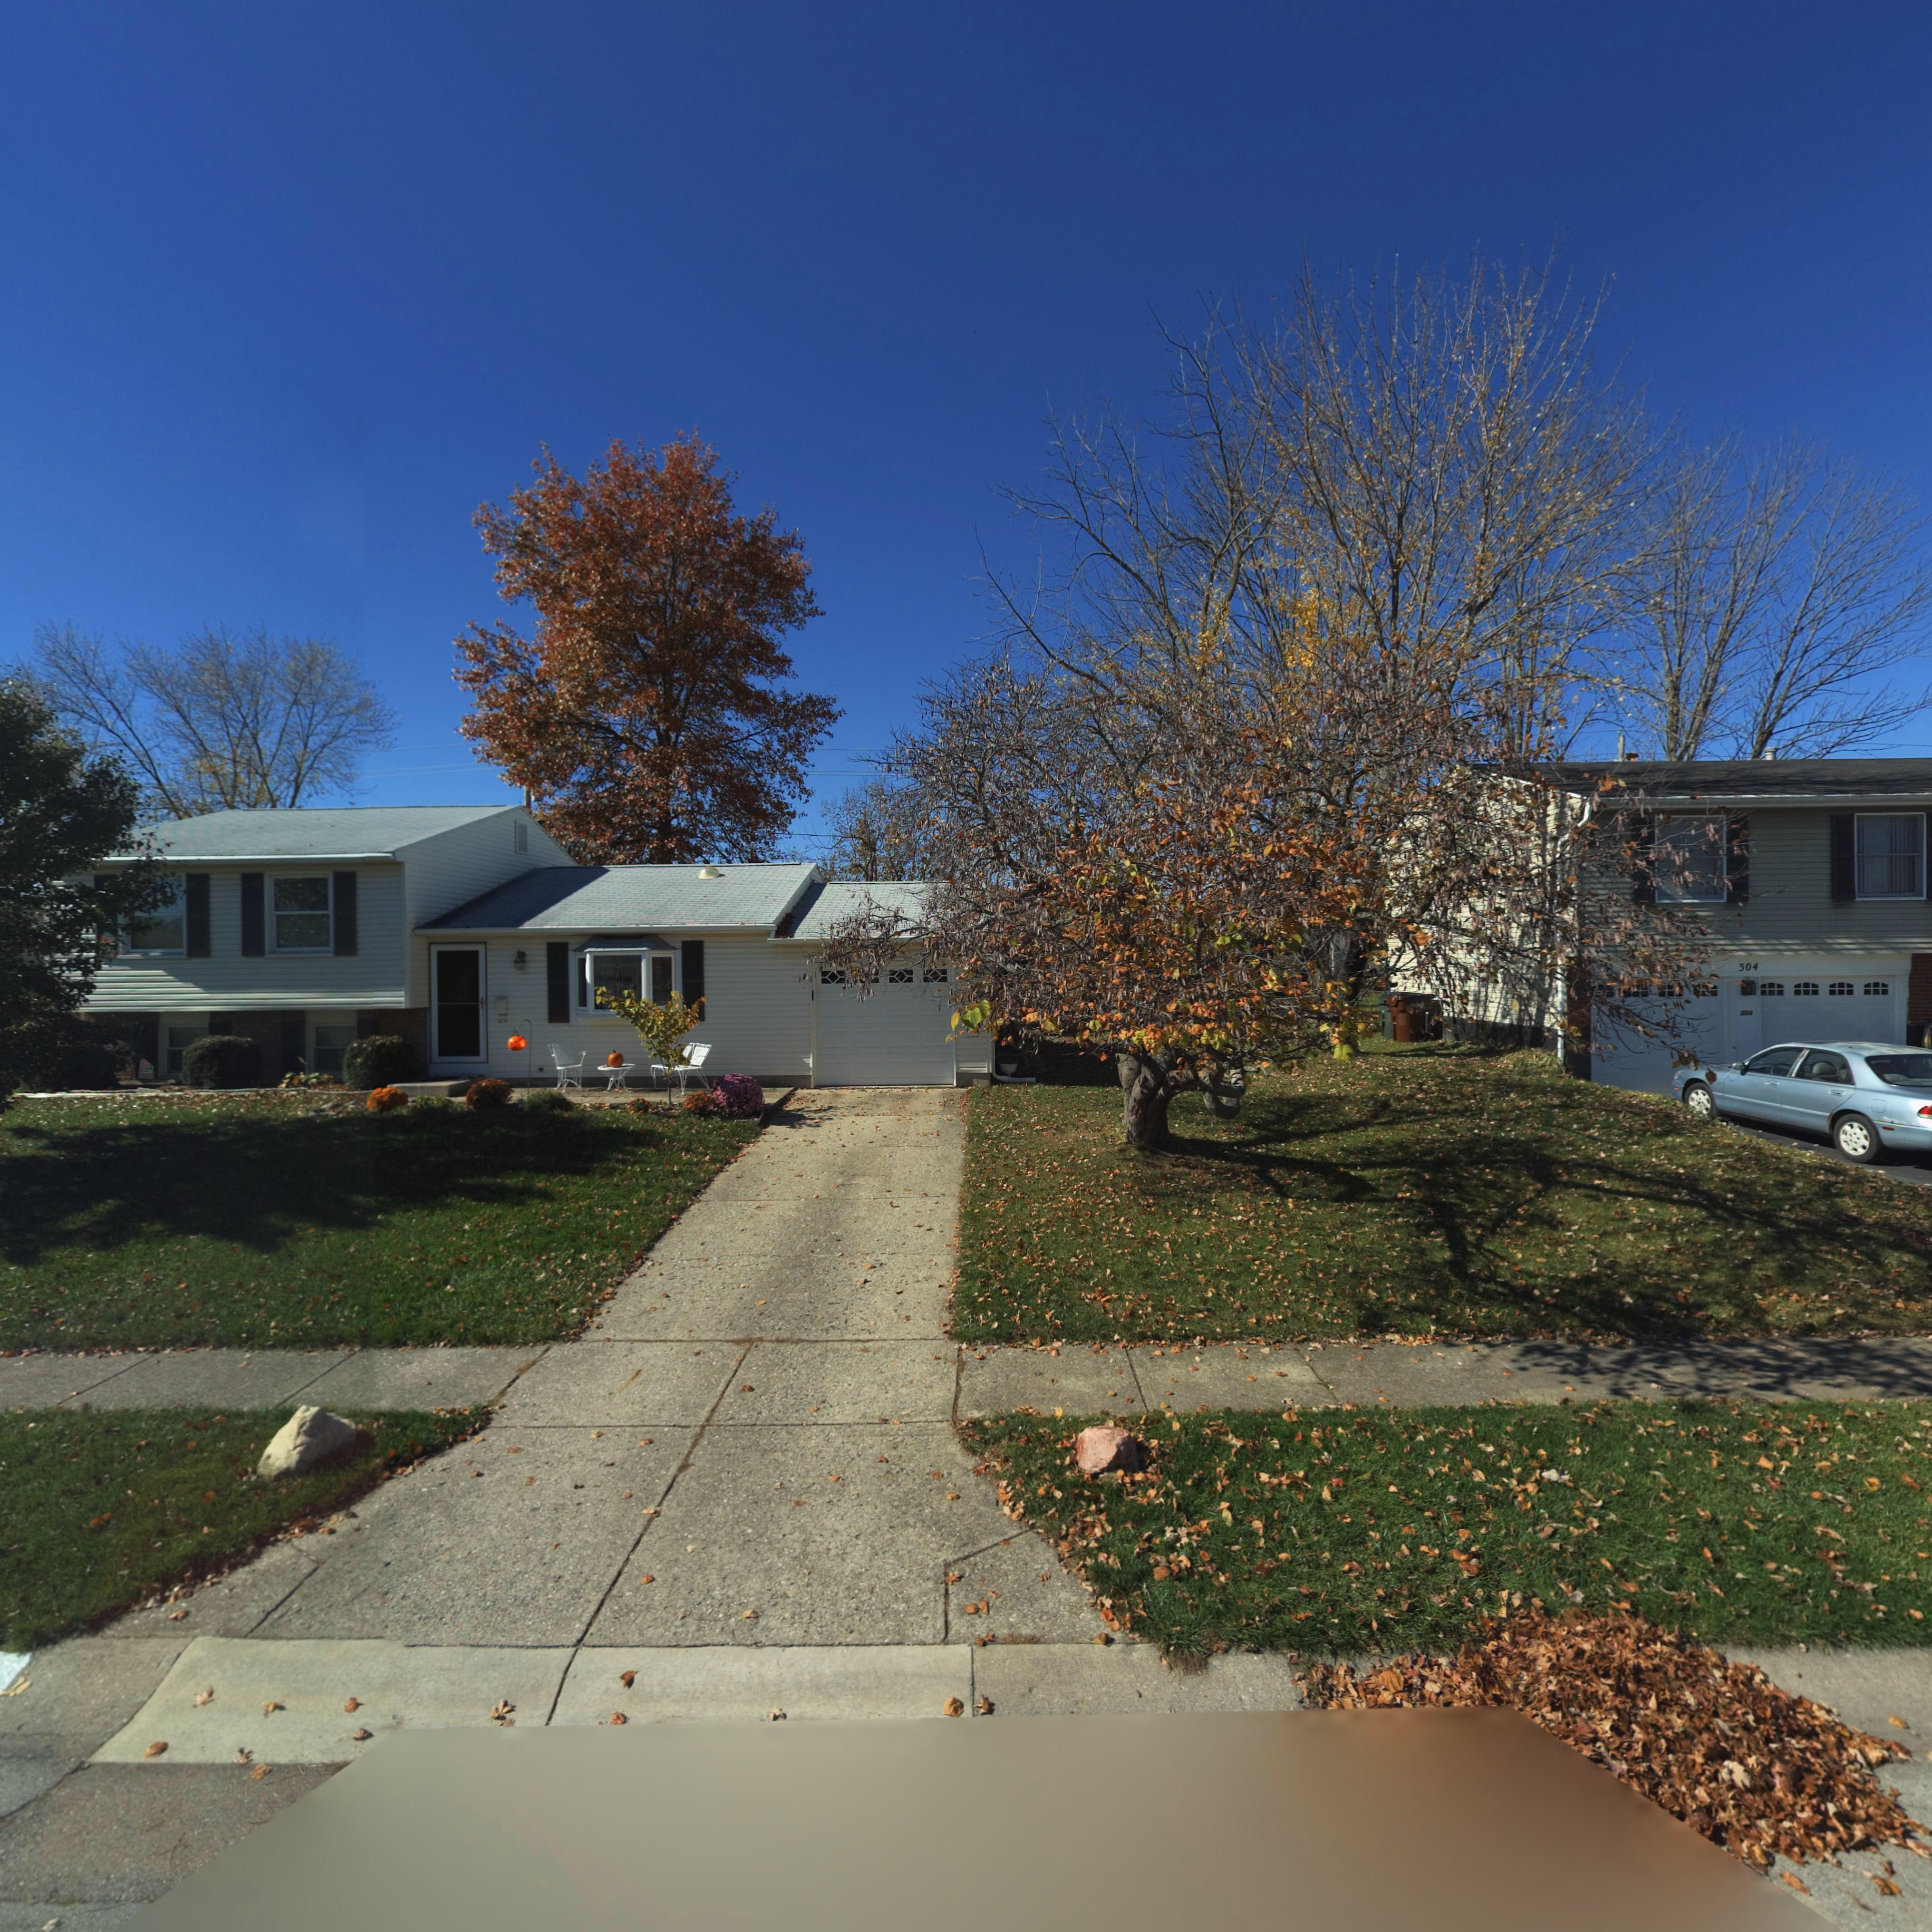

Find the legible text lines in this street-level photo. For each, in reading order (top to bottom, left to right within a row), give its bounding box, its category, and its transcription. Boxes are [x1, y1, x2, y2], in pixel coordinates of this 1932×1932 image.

[1738, 962, 1759, 972] StreetNumber: 304
[1739, 1009, 1754, 1016] StreetNumber: *04